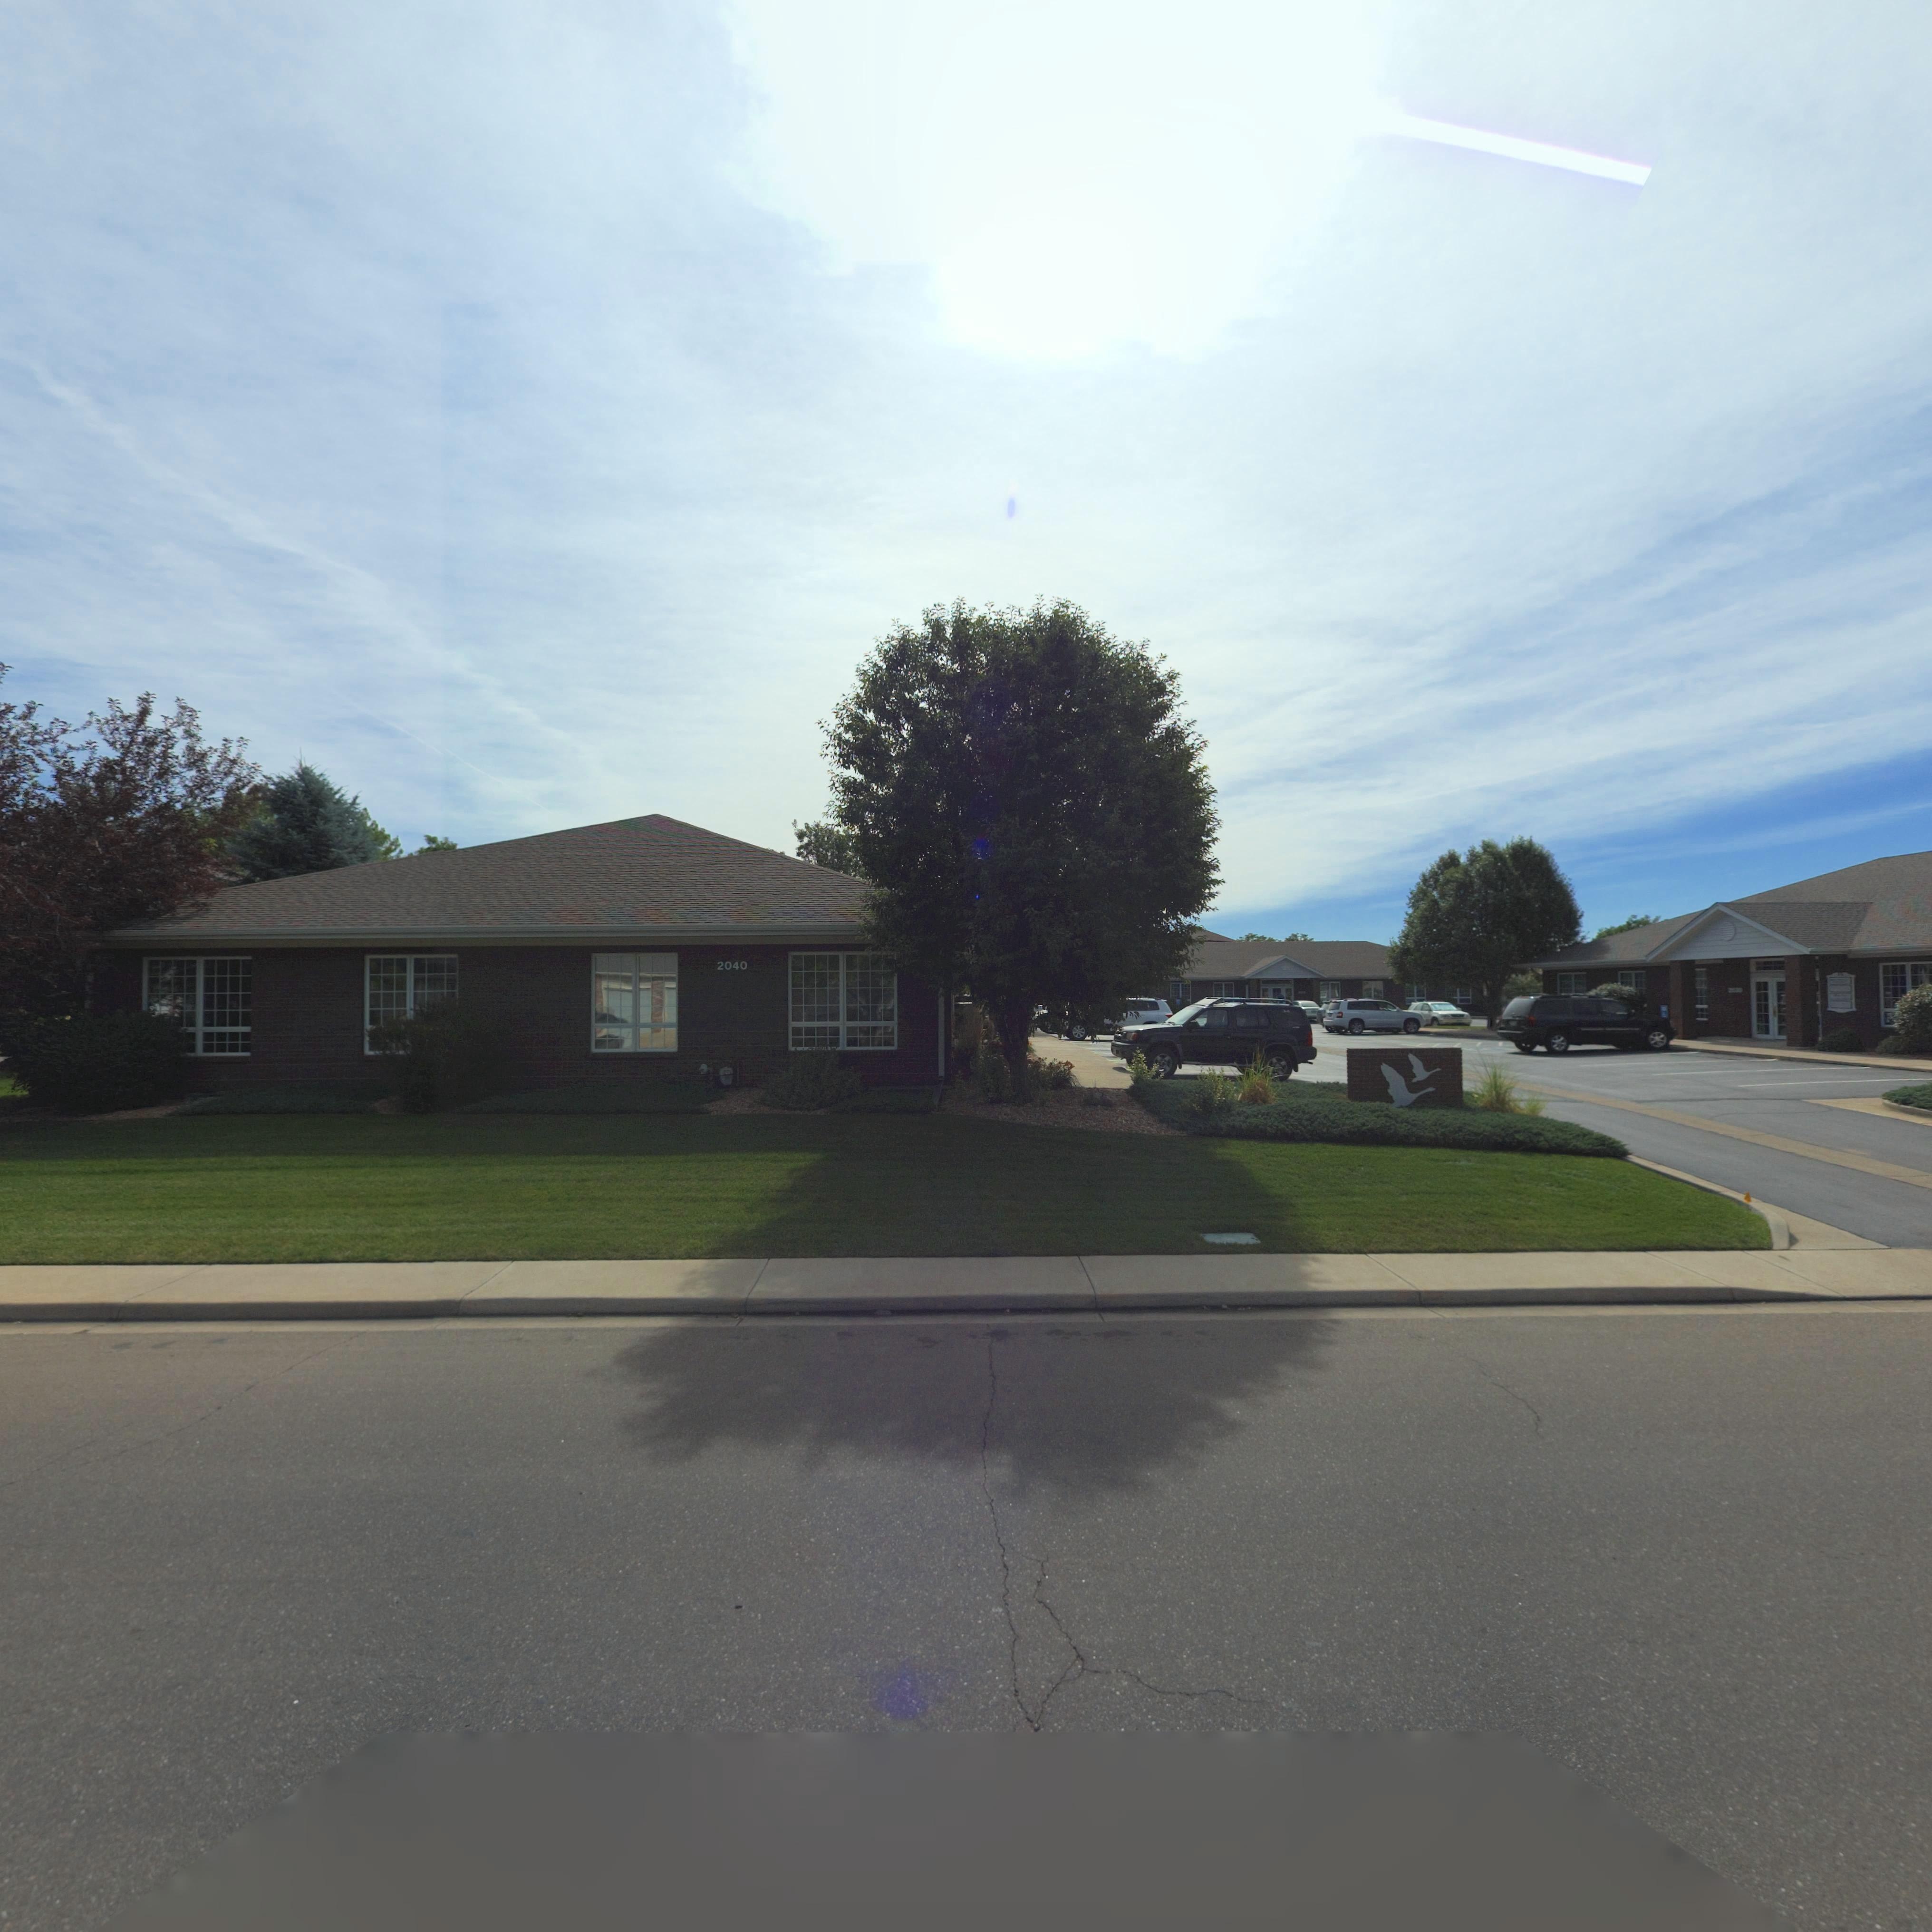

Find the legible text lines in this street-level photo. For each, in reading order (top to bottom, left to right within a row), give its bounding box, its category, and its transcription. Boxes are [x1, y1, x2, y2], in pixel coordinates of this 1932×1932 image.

[716, 960, 747, 970] StreetNumber: 2040